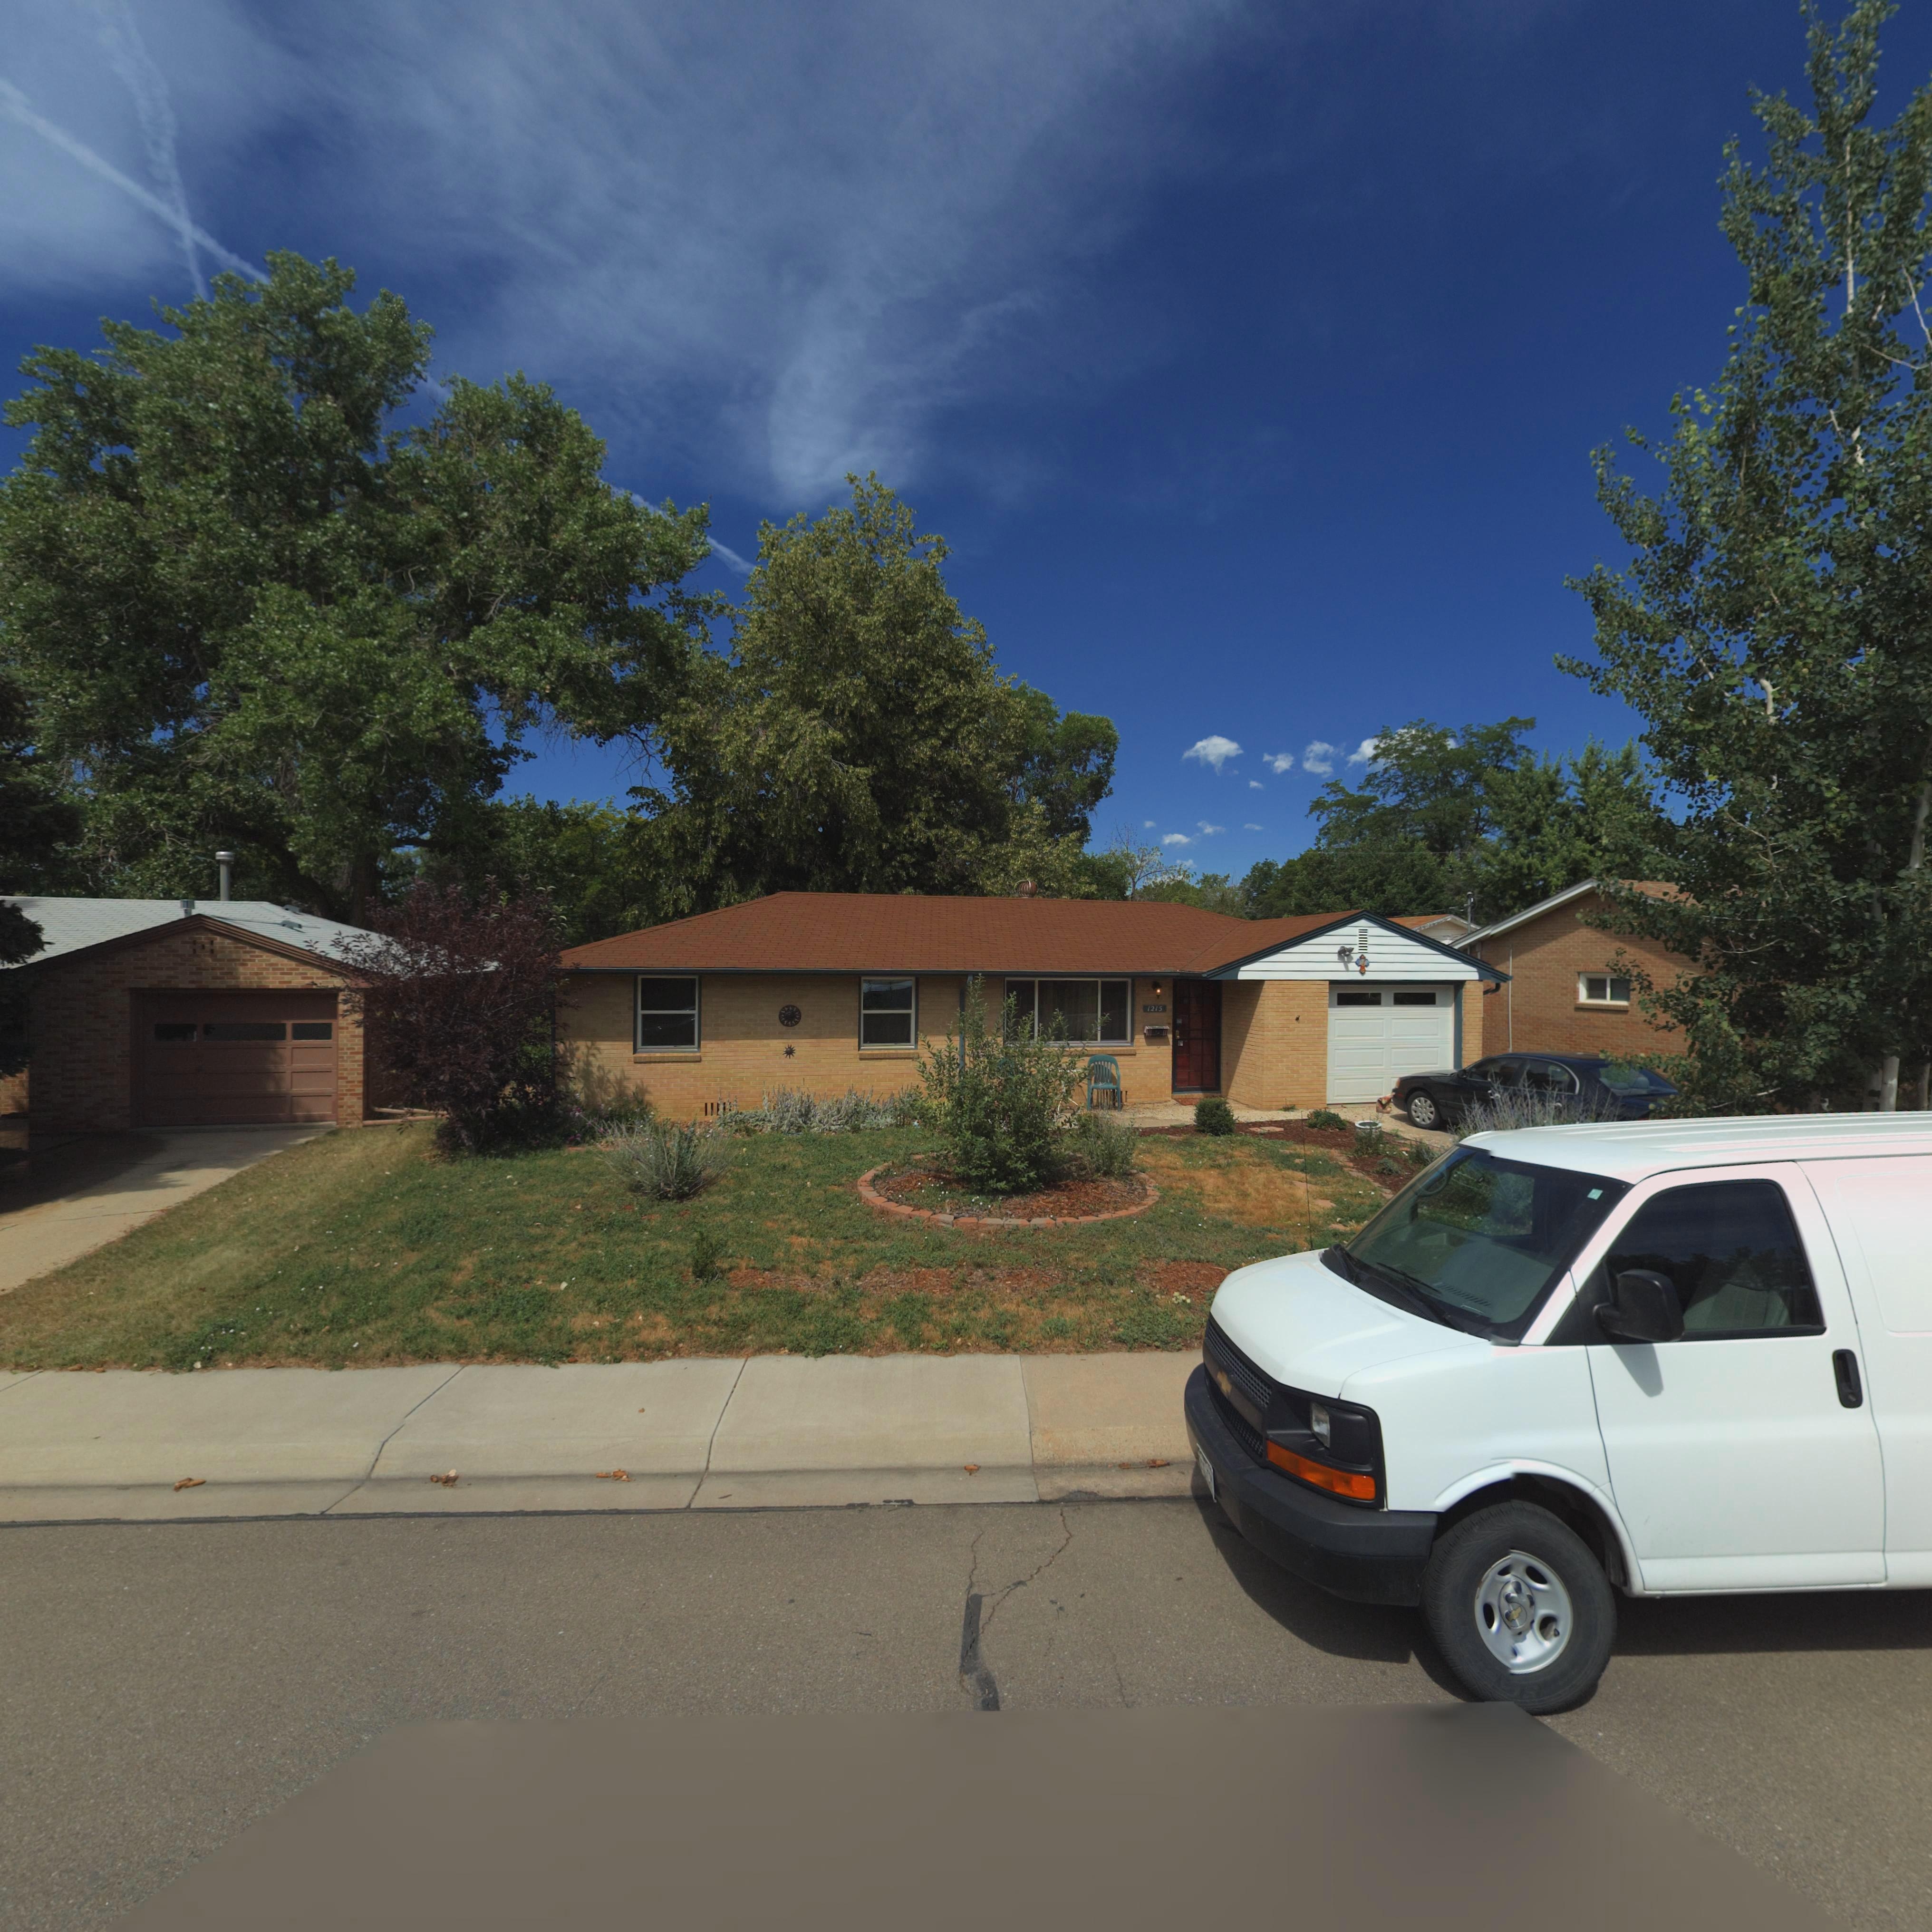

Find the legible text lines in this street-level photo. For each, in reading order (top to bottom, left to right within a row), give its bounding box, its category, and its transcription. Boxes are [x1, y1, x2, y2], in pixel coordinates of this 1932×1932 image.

[1148, 1005, 1162, 1011] StreetNumber: 1215